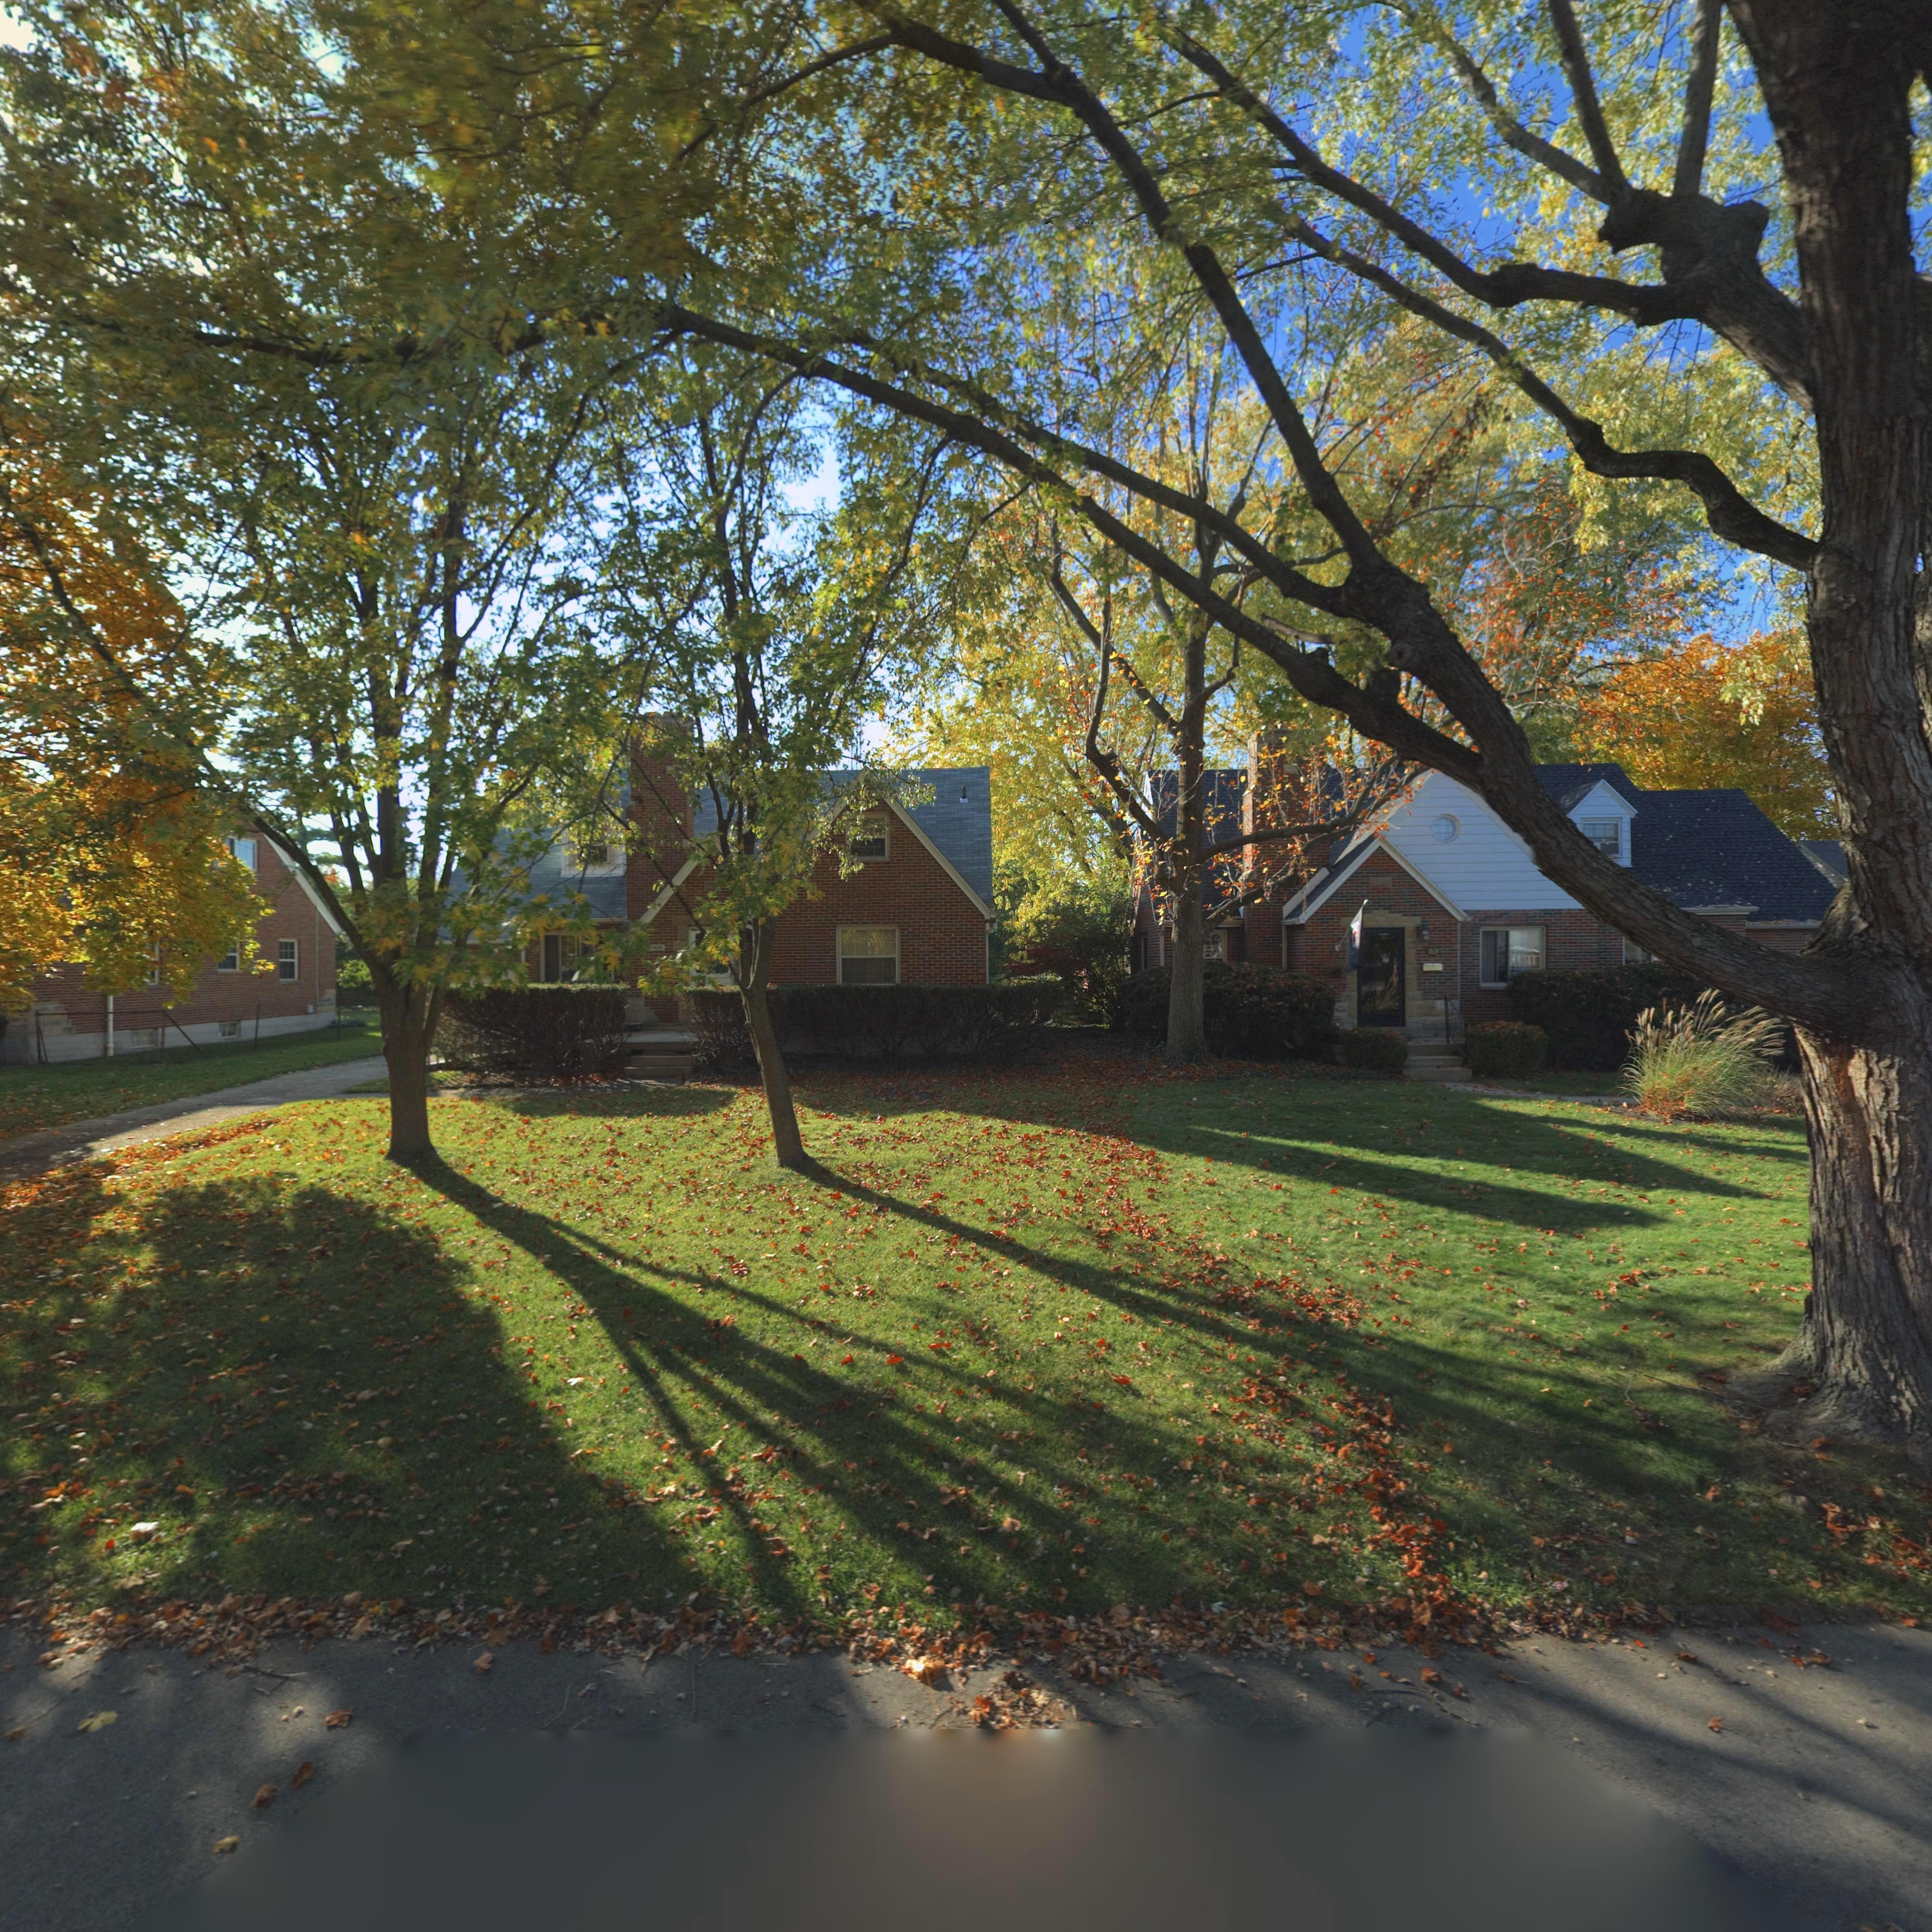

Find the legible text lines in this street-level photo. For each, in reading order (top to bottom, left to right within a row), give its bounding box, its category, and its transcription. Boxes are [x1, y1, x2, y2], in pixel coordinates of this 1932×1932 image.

[1434, 947, 1439, 956] StreetNumber: 3